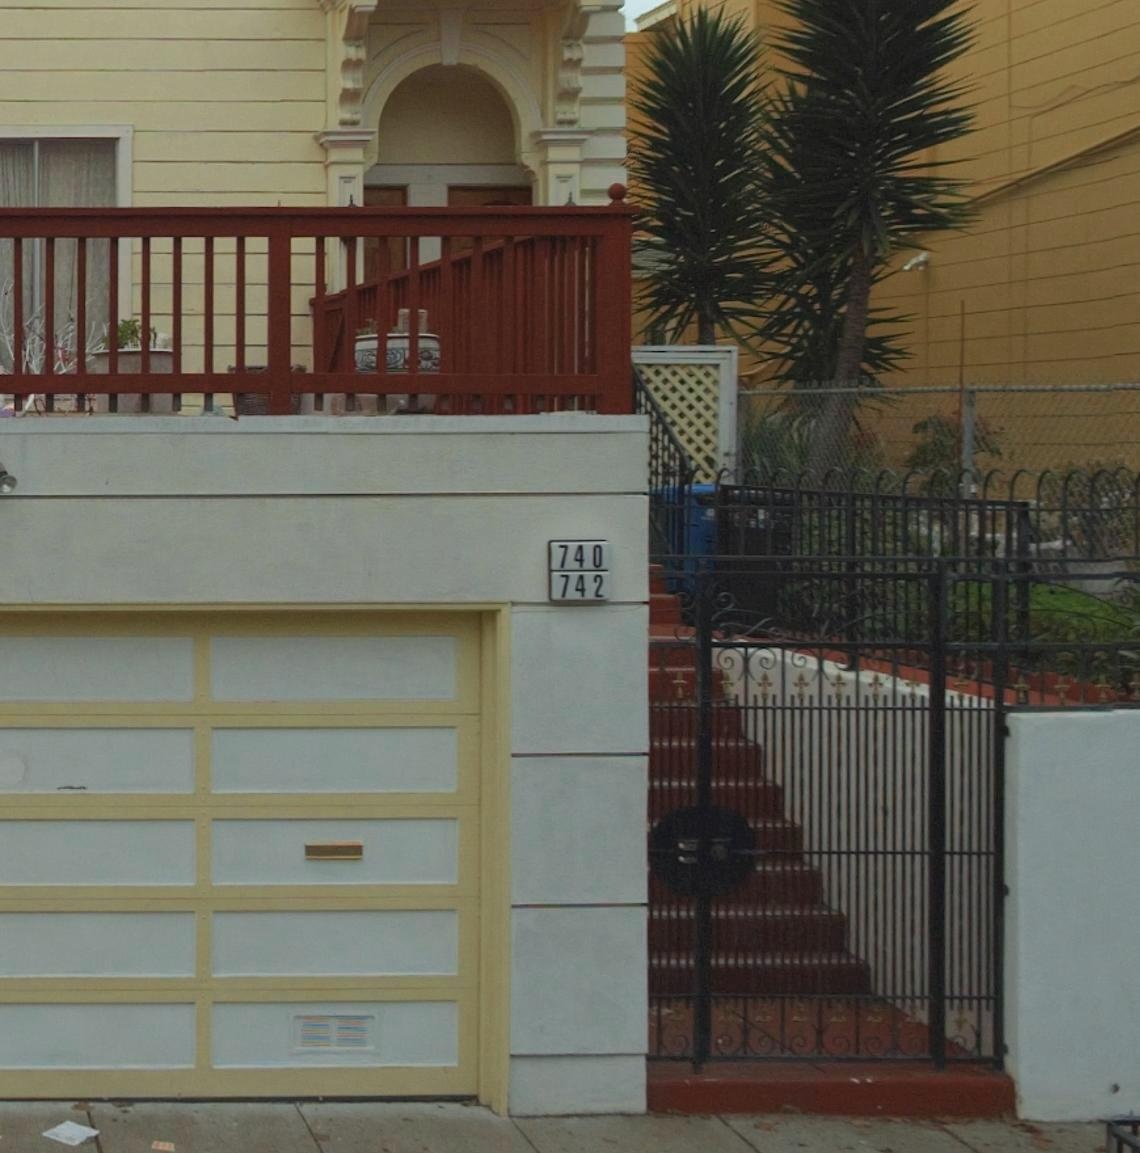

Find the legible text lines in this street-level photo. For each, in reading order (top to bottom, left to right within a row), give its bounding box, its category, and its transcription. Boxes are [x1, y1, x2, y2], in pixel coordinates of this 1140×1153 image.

[556, 542, 604, 571] StreetNumber: 740
[556, 572, 605, 599] StreetNumber: 742